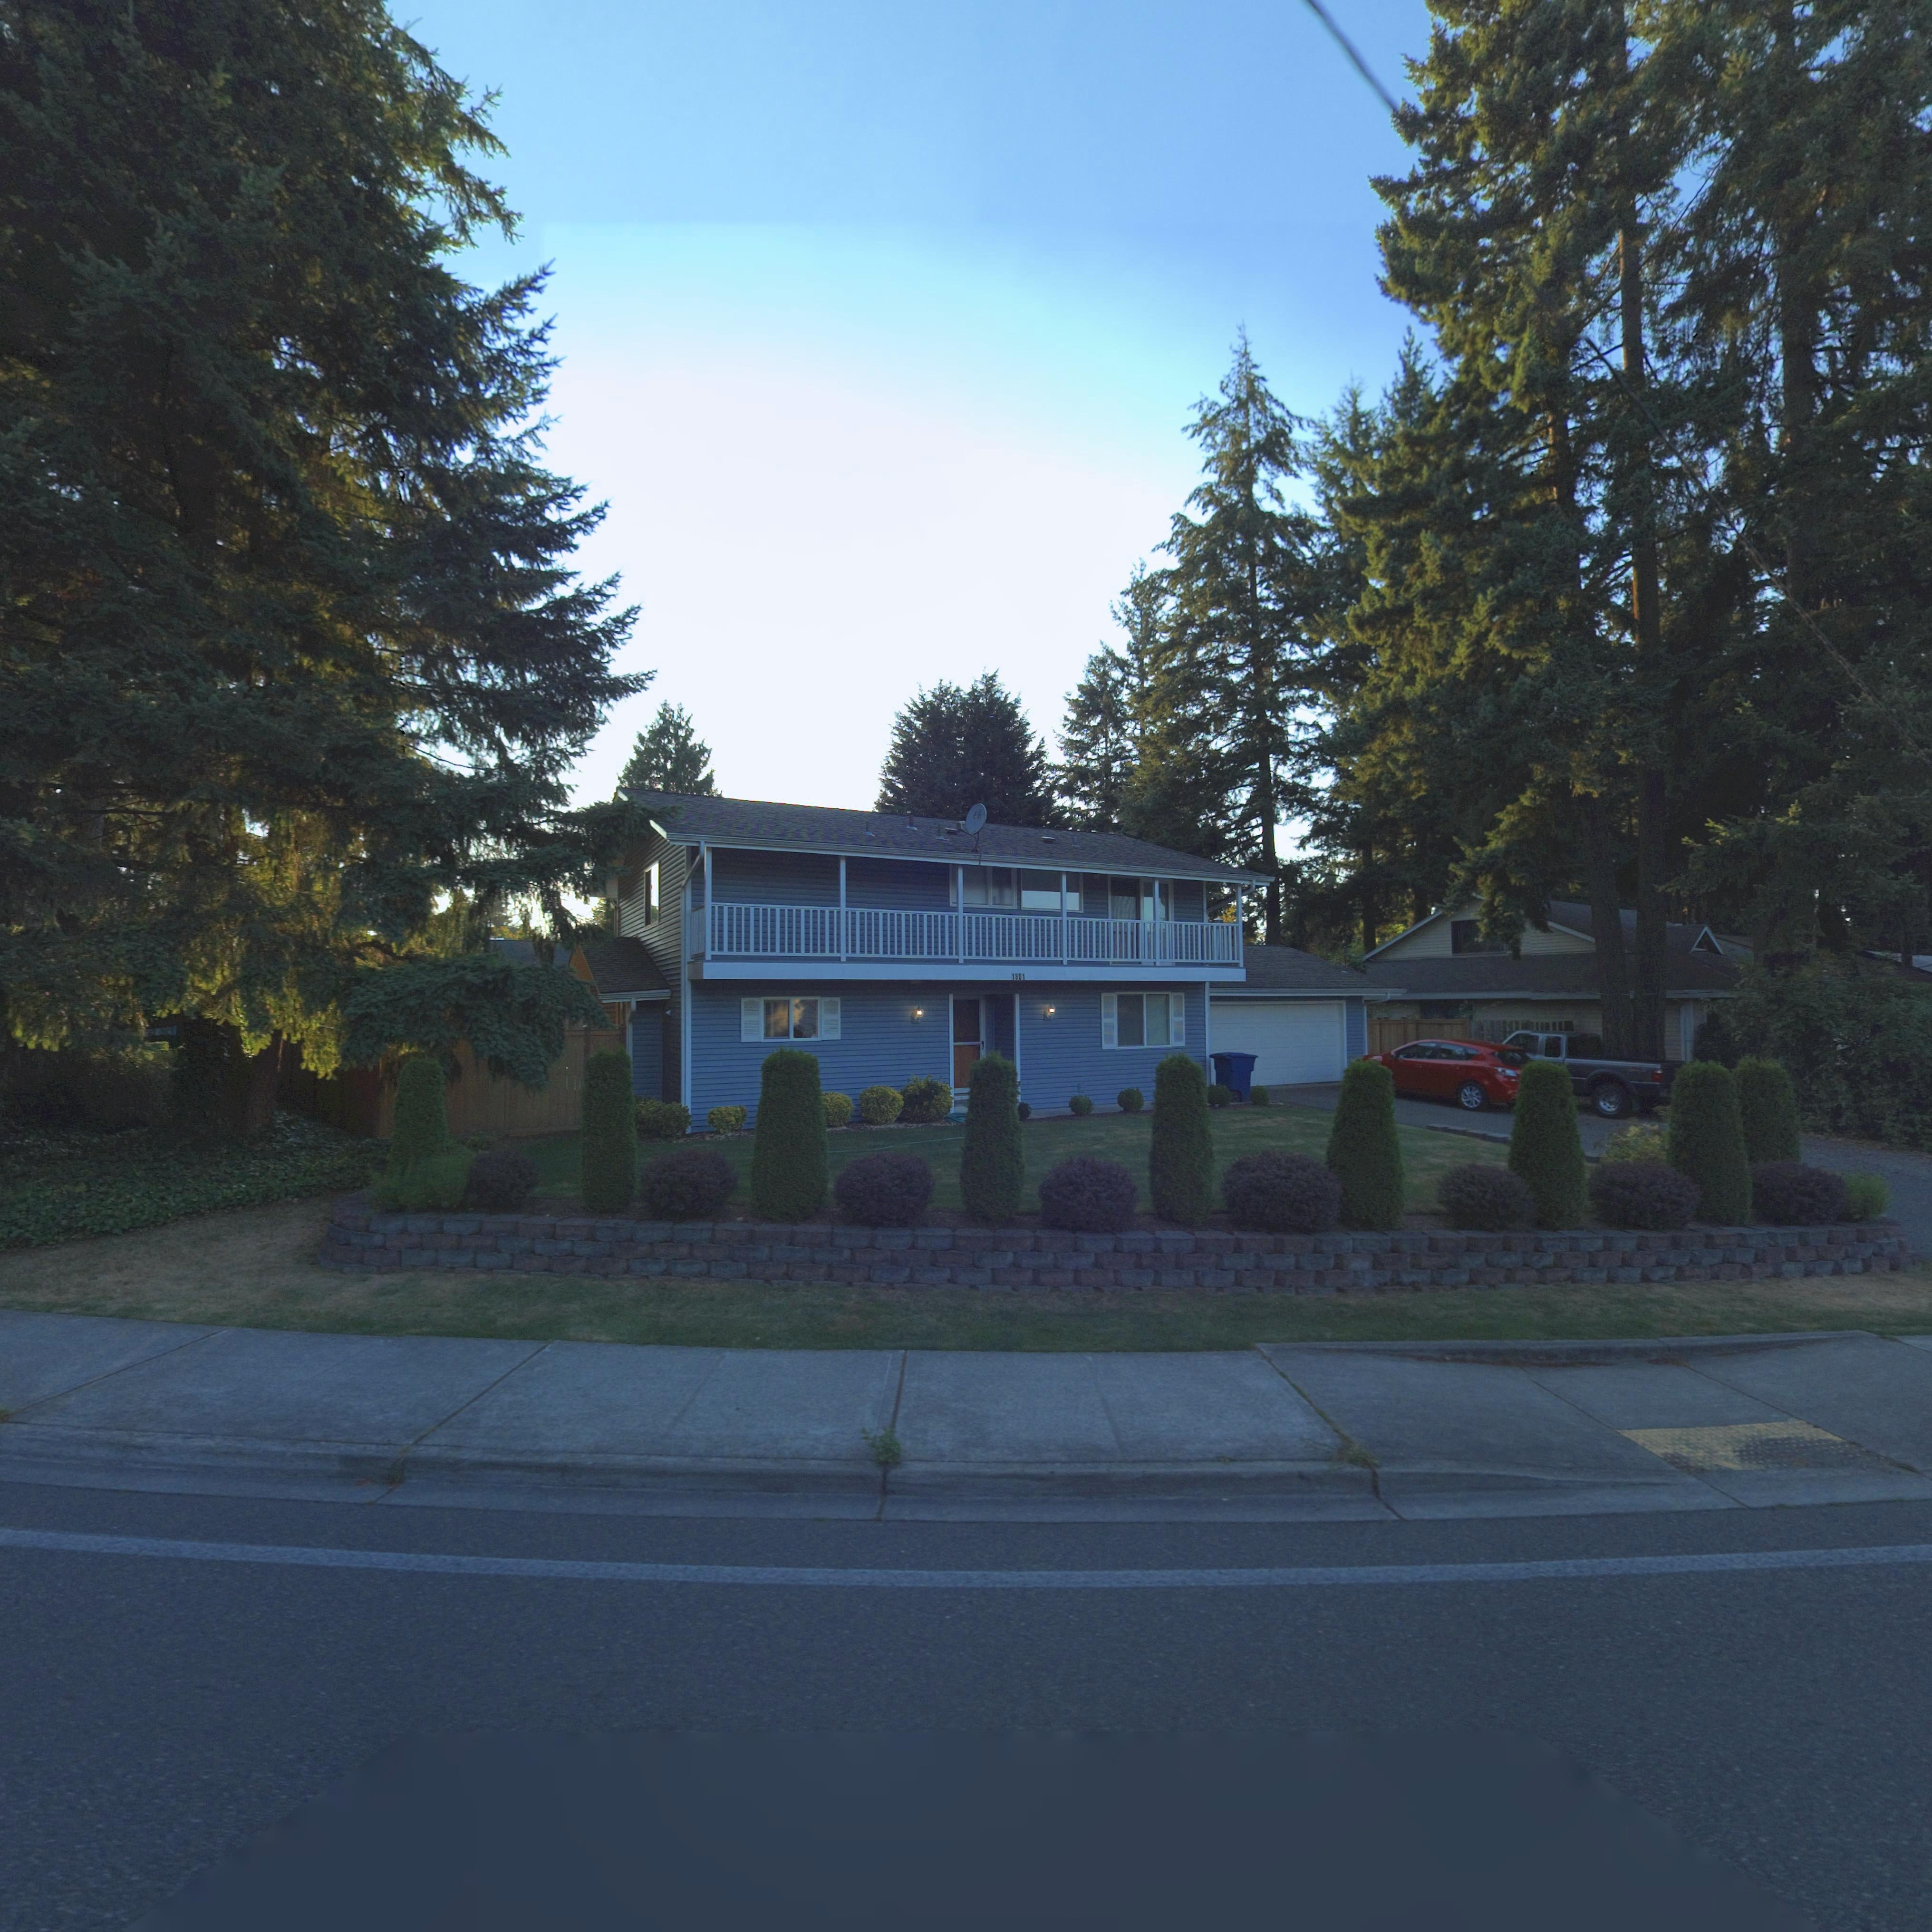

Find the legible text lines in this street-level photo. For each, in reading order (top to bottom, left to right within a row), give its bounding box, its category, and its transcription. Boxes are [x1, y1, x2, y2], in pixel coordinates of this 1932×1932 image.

[1012, 973, 1025, 980] StreetNumber: 1801